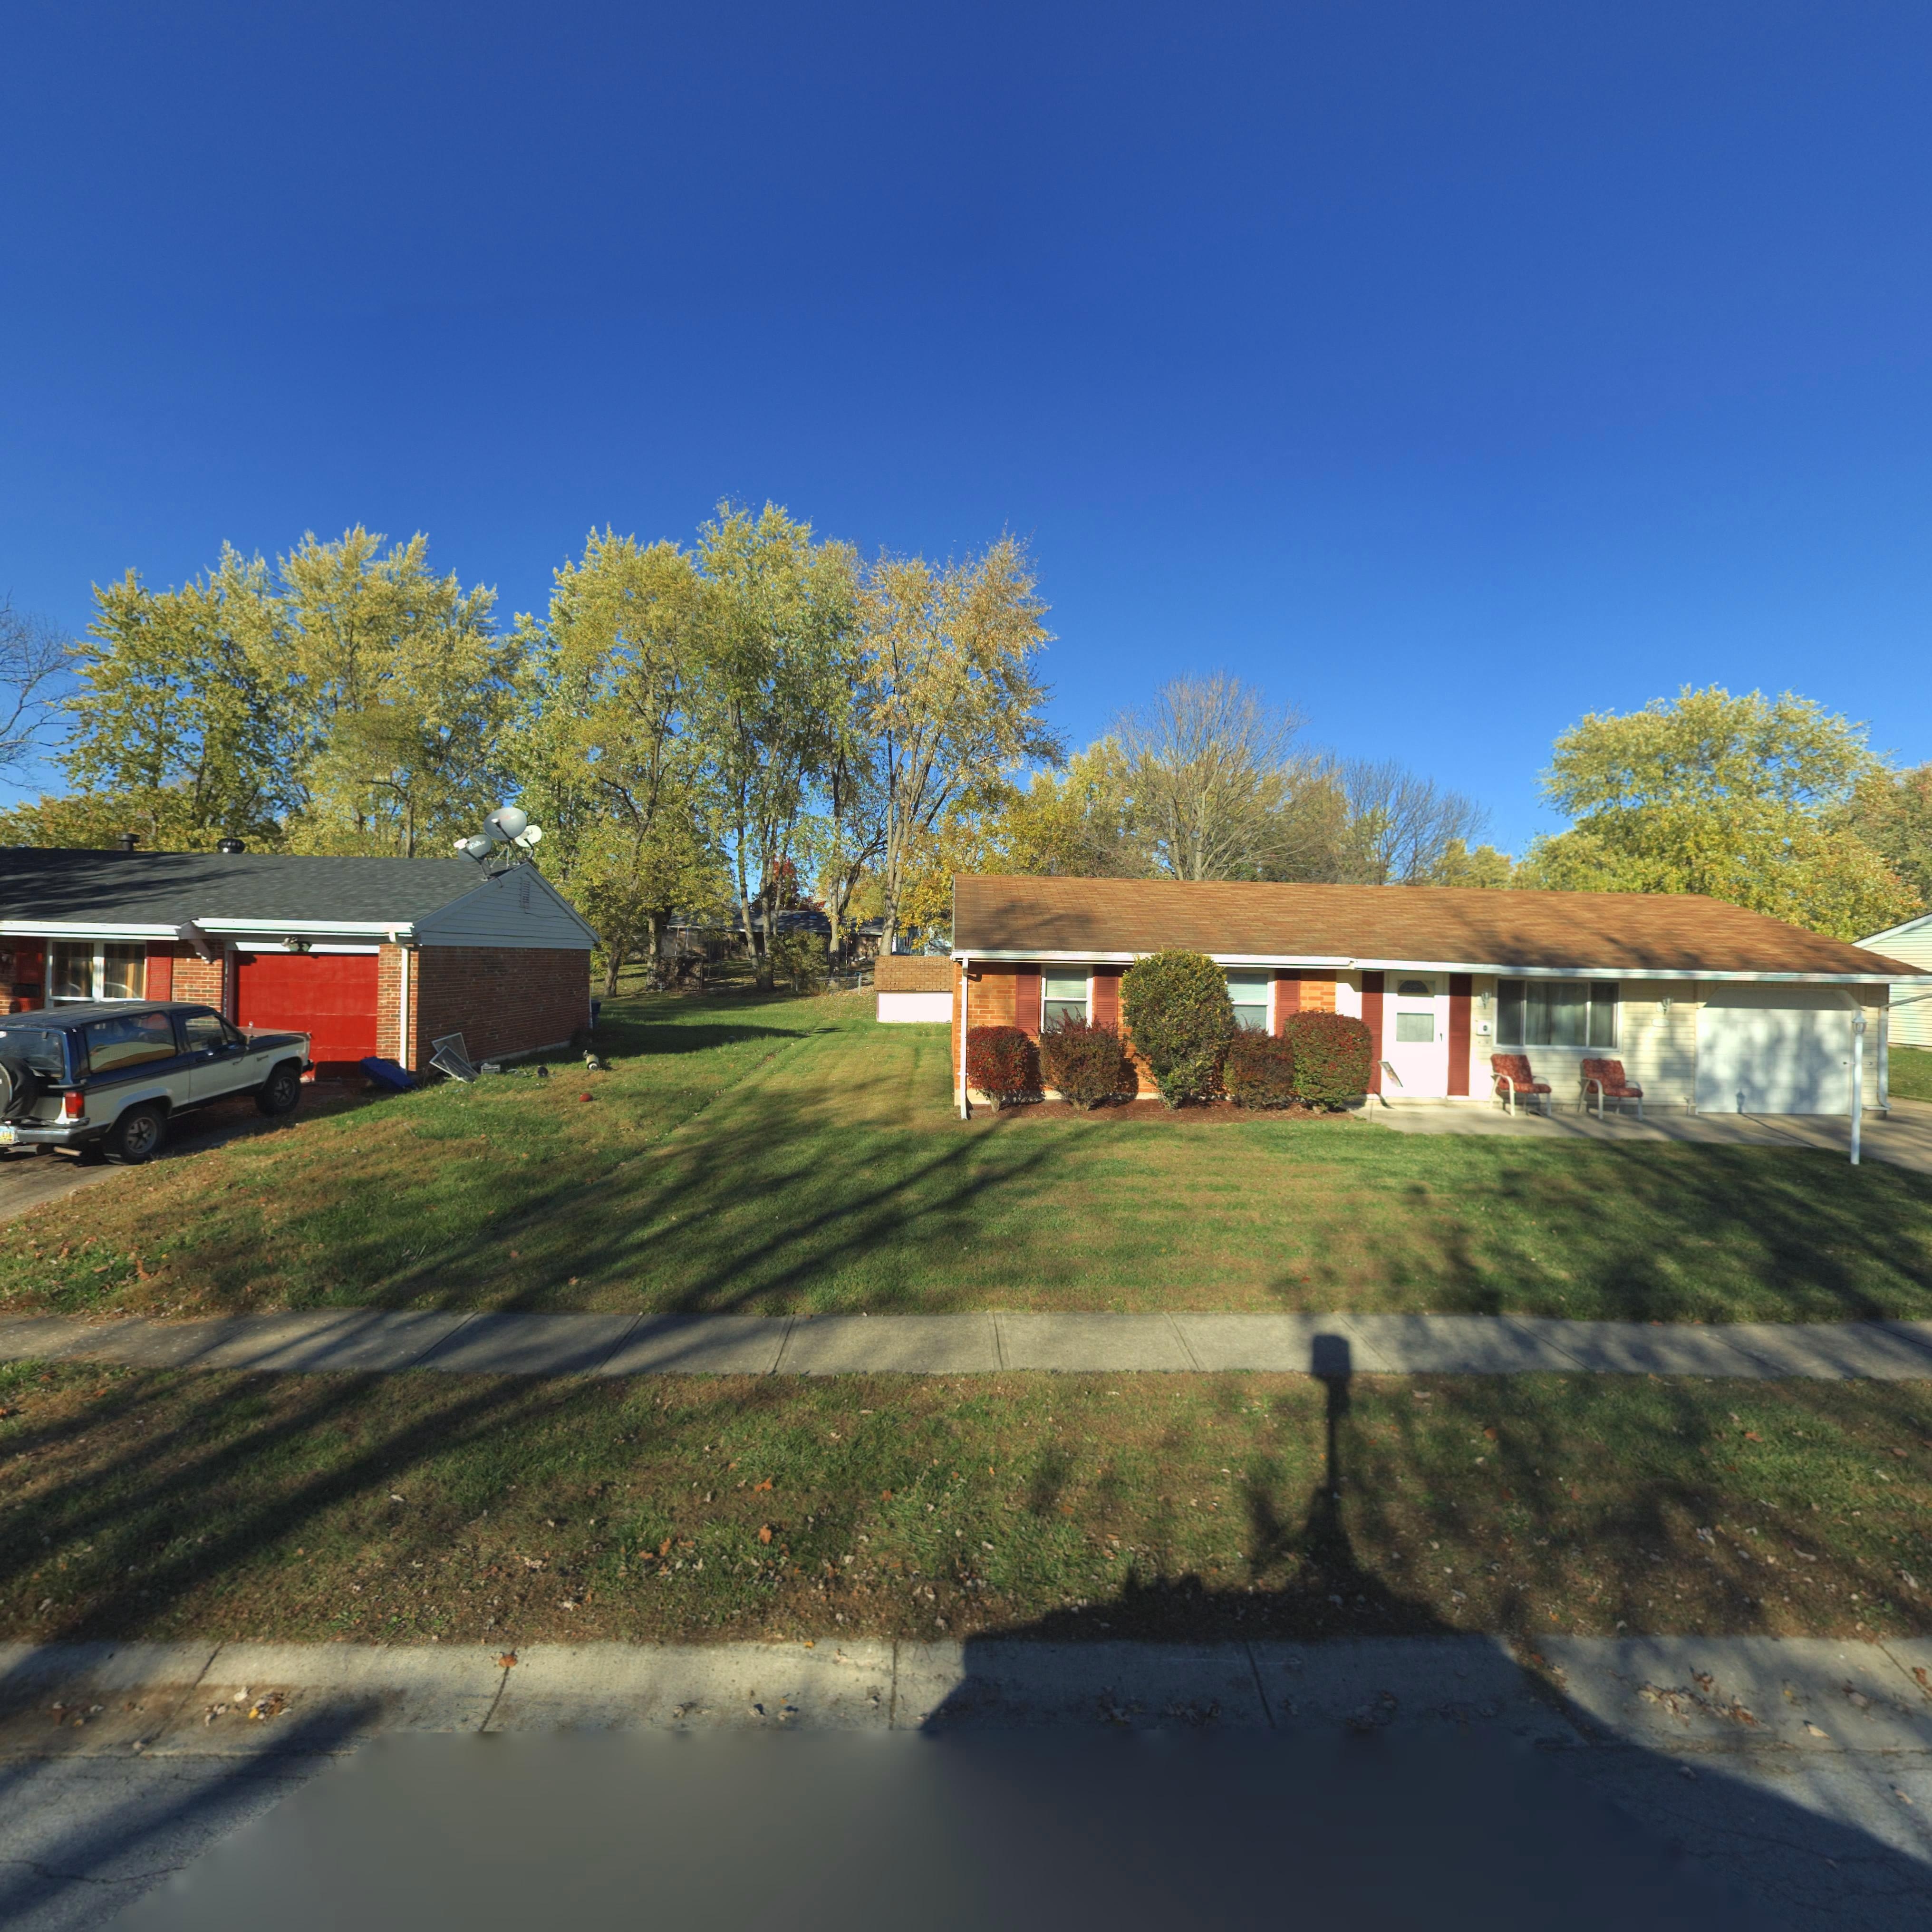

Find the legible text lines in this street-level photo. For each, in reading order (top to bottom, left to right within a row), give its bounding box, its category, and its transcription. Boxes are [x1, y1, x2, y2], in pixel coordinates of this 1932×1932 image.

[303, 943, 308, 951] StreetNumber: 9